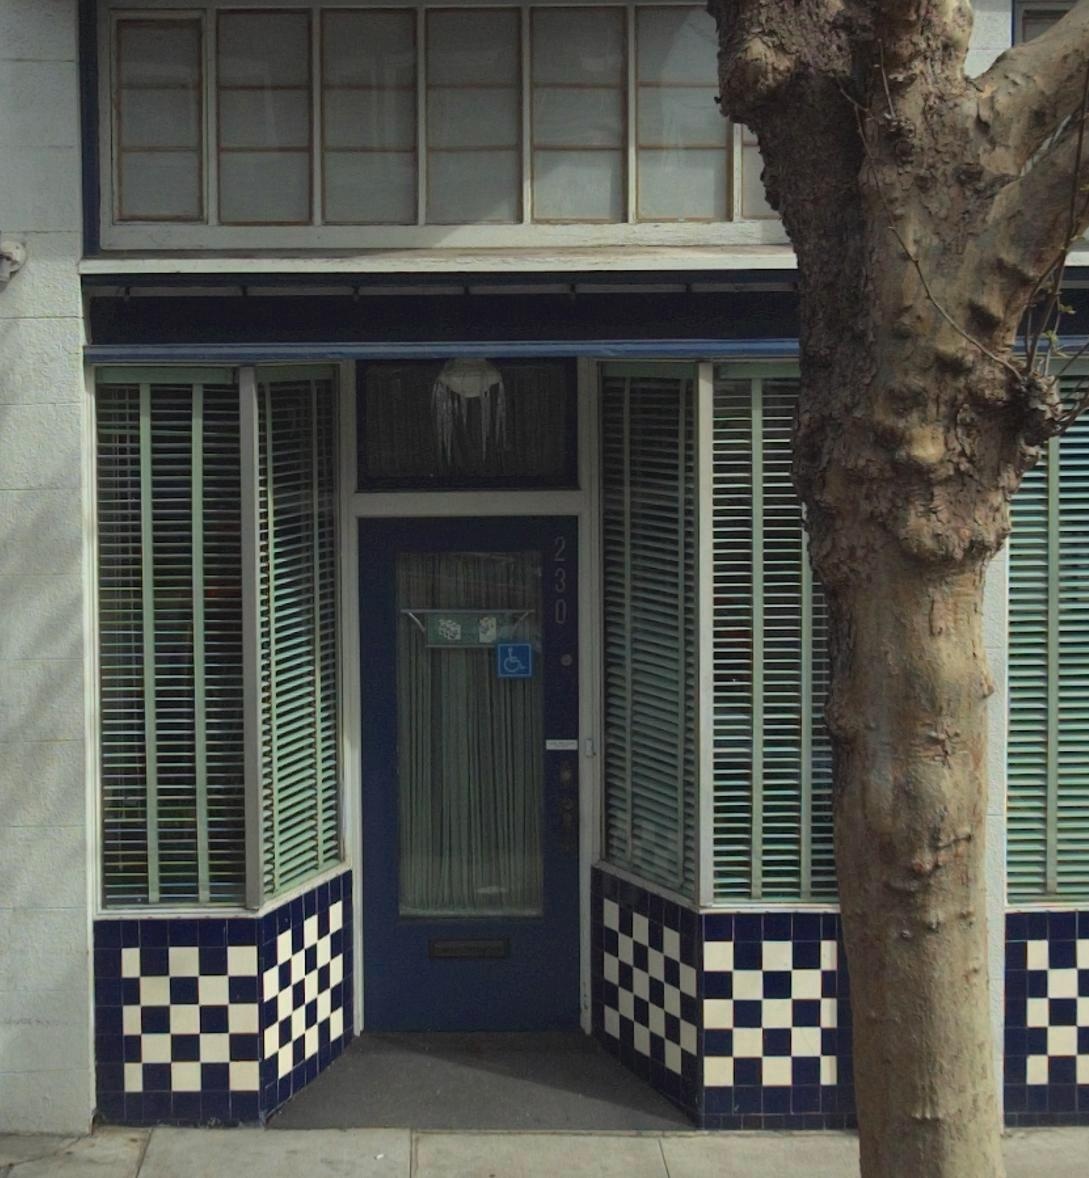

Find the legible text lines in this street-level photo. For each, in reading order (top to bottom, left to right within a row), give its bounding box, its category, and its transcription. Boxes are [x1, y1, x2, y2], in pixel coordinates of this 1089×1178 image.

[550, 532, 570, 629] StreetNumber: 230